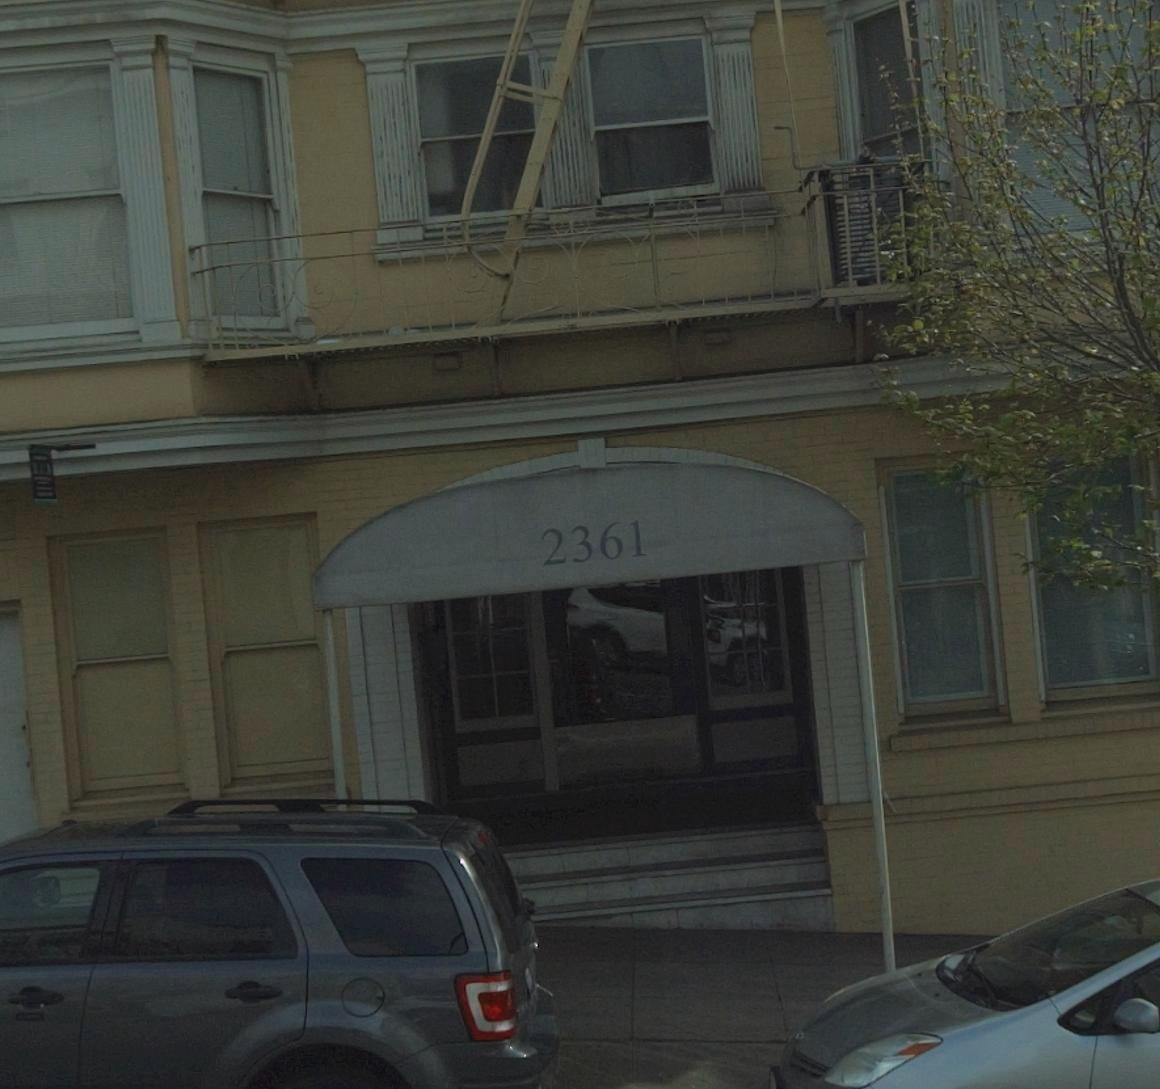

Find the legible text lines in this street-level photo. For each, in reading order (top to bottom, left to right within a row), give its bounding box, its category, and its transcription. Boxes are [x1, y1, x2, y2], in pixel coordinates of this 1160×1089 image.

[536, 515, 651, 571] StreetNumber: 2361